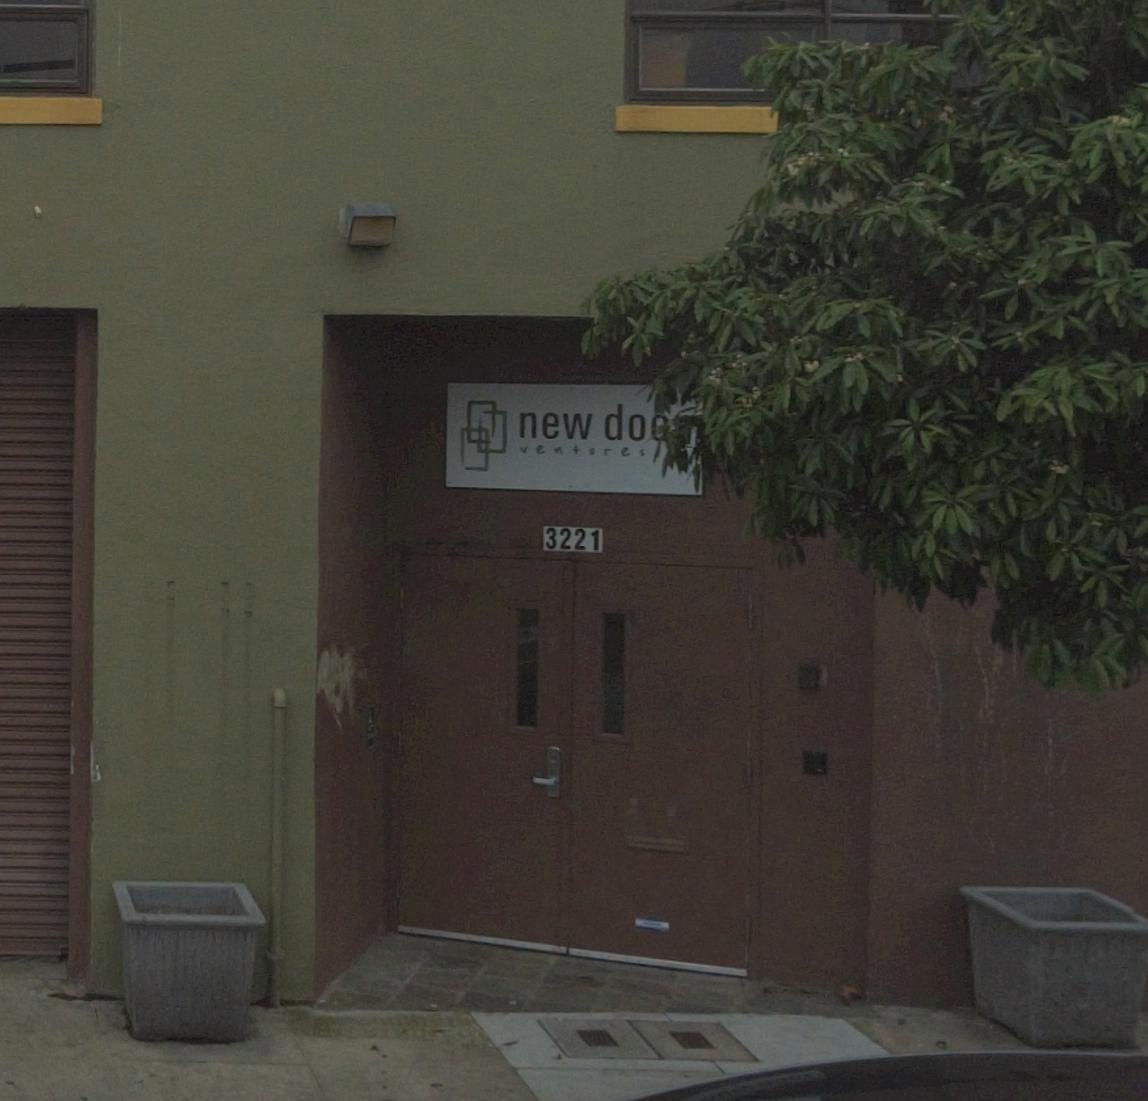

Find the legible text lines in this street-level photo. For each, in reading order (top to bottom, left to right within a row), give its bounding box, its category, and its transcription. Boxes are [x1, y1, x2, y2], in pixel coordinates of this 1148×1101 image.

[518, 401, 707, 446] BusinessName: new do**
[518, 443, 646, 458] BusinessName: ventures
[544, 525, 602, 553] StreetNumber: 3221